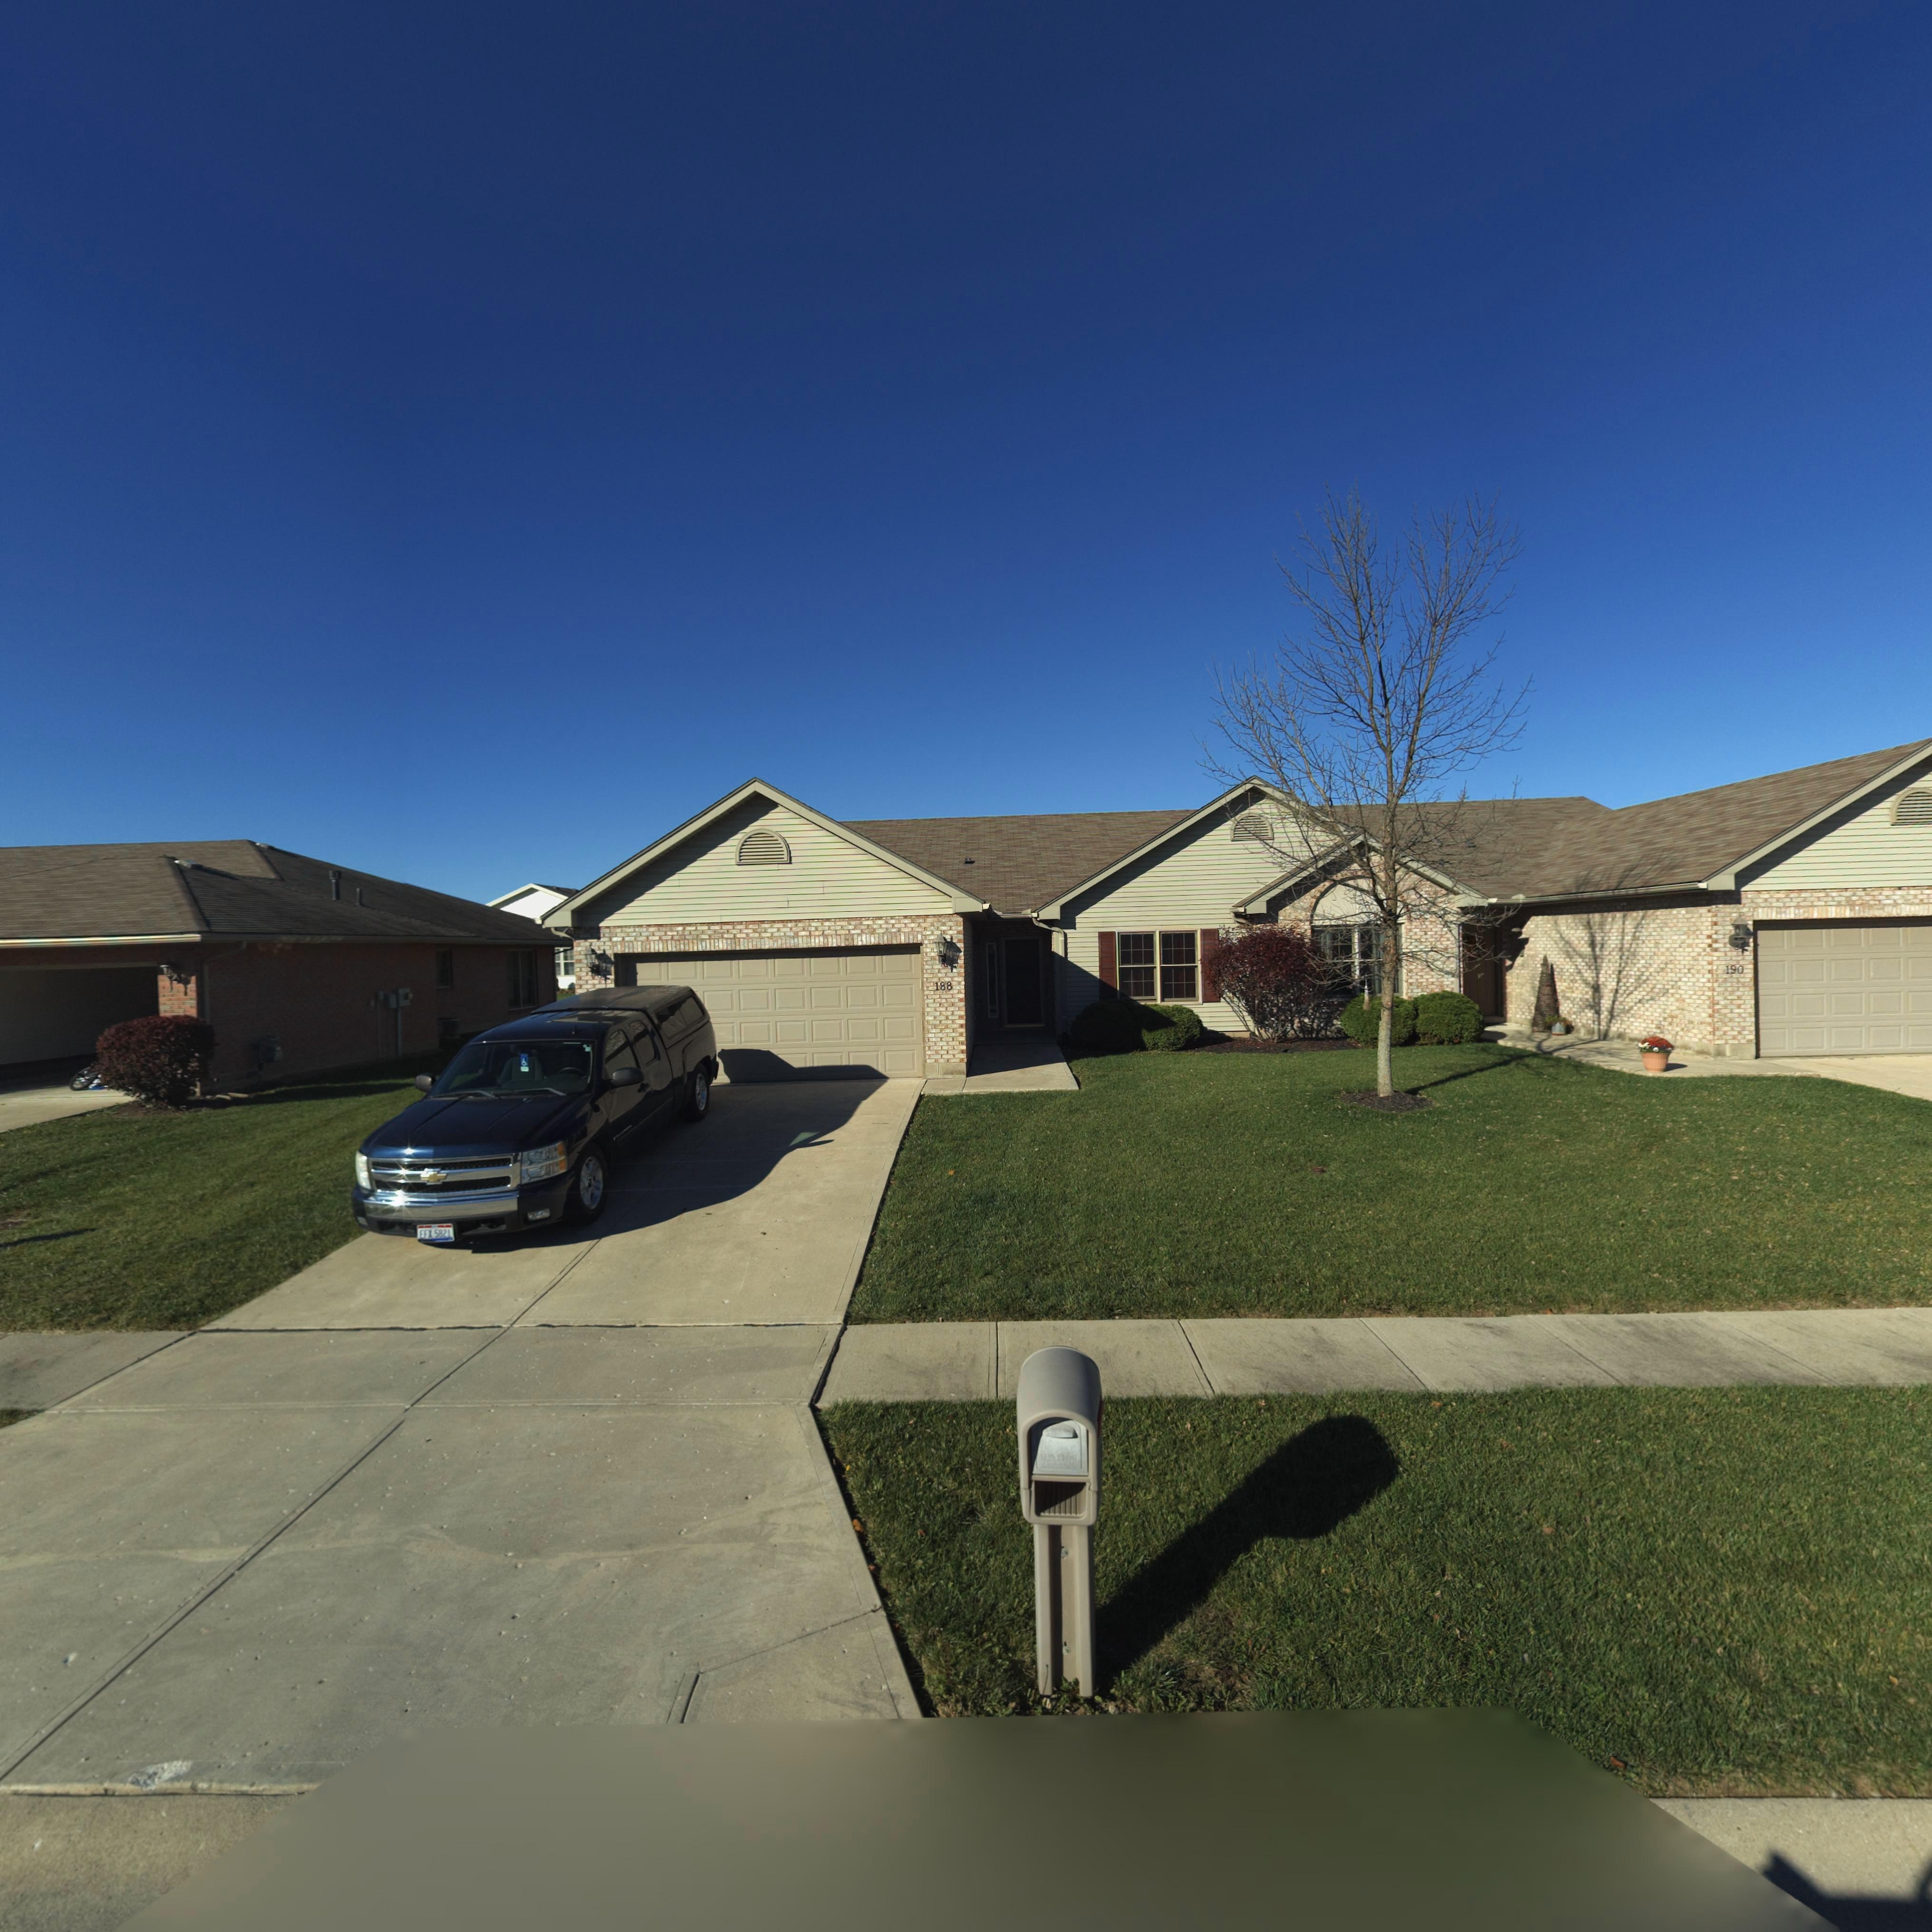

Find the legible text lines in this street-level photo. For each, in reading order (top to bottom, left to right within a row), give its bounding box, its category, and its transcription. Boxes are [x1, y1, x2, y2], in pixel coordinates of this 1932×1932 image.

[1724, 964, 1745, 976] StreetNumber: 190
[933, 980, 954, 993] StreetNumber: 188